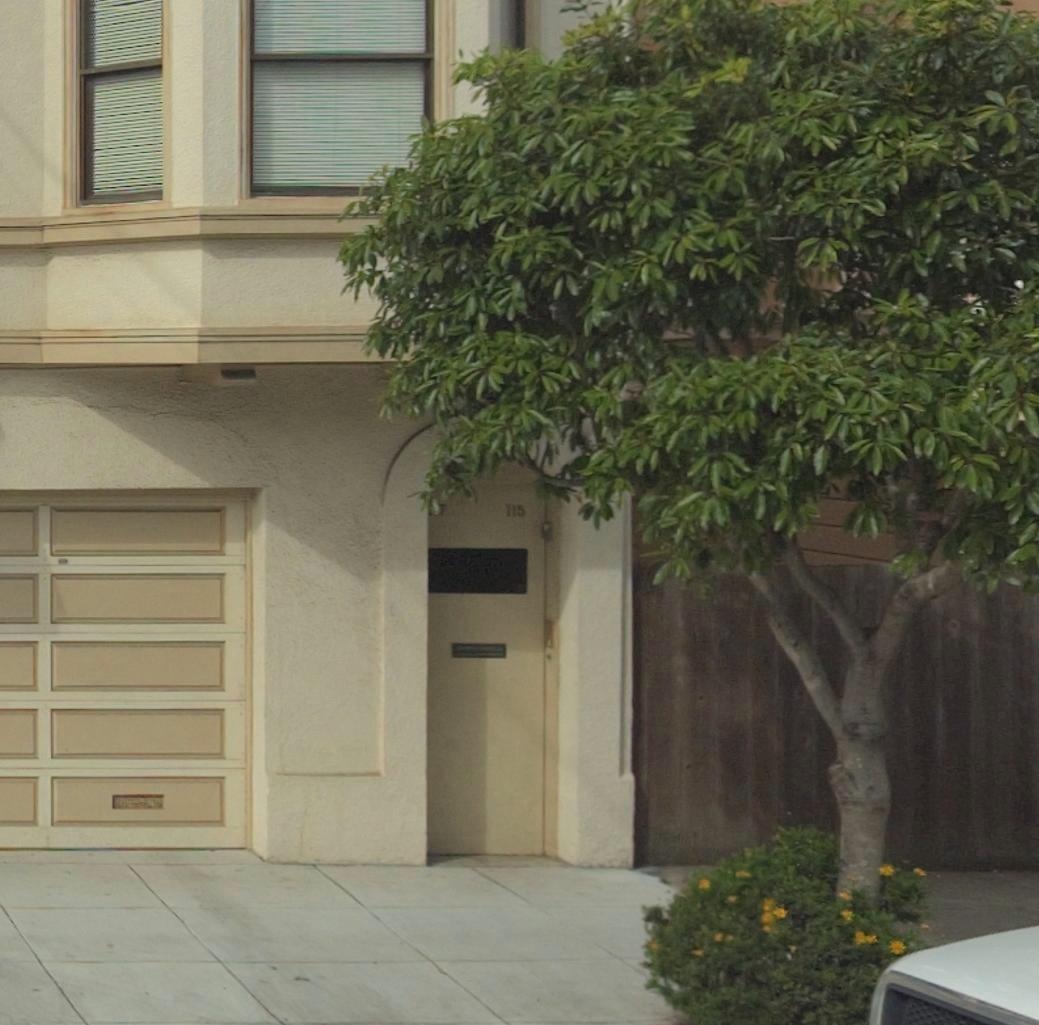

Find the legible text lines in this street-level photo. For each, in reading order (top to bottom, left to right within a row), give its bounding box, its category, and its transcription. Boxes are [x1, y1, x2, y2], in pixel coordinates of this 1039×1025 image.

[504, 503, 527, 518] StreetNumber: 115